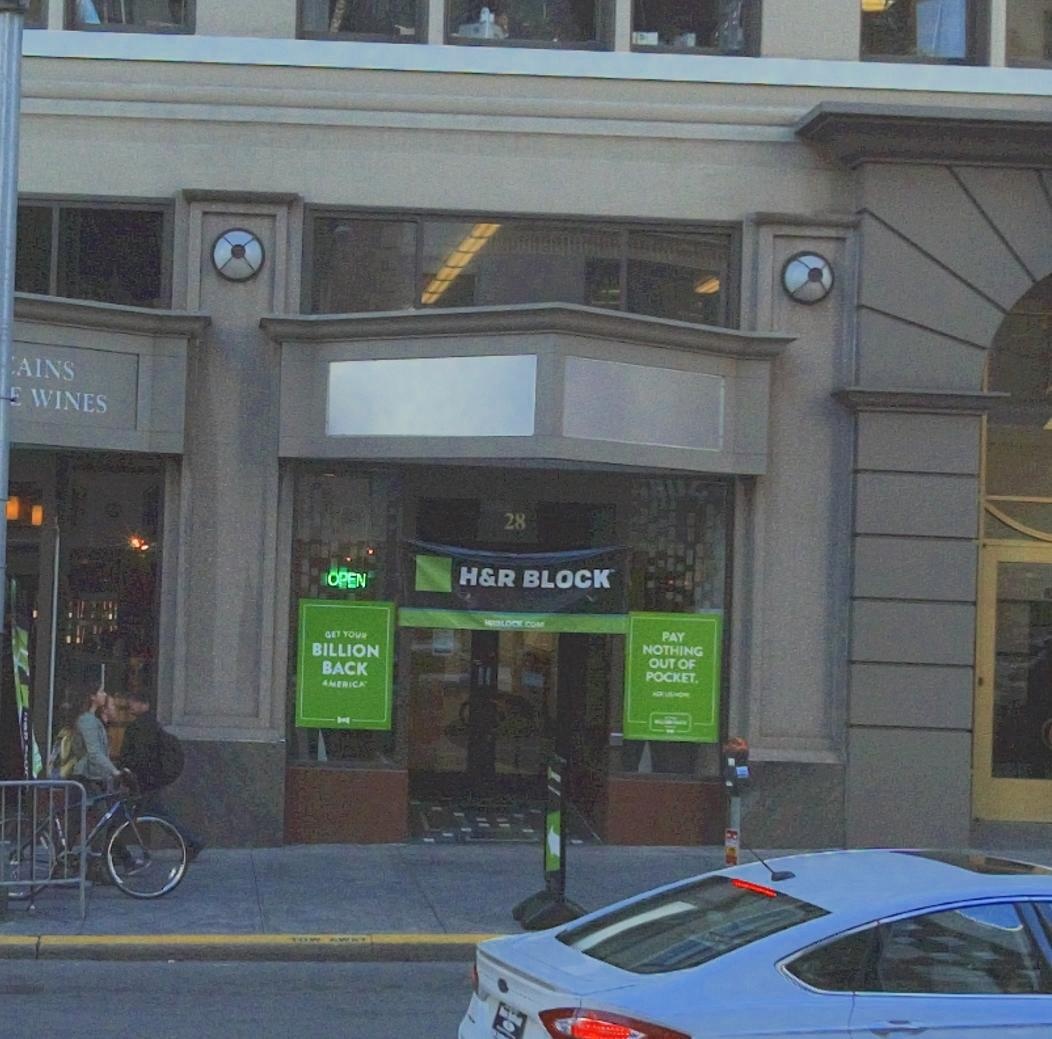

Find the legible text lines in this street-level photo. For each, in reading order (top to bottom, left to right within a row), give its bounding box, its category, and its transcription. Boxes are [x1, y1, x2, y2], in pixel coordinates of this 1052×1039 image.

[15, 356, 77, 383] None: AINS
[9, 385, 109, 415] None: E WINES
[502, 511, 528, 533] StreetNumber: 28
[328, 572, 367, 589] None: OPEN
[459, 566, 611, 589] BusinessName: H&R BLOCK
[325, 624, 379, 639] None: GET YOUR
[658, 630, 687, 642] None: PAY
[308, 637, 385, 656] None: BILLION
[641, 642, 704, 656] None: NOTHING
[317, 678, 369, 689] None: AMERICA
[318, 659, 372, 675] None: BACK
[645, 655, 695, 670] None: OUT OF
[639, 665, 701, 685] None: POCKET.
[291, 936, 368, 944] None: TOW AWAY